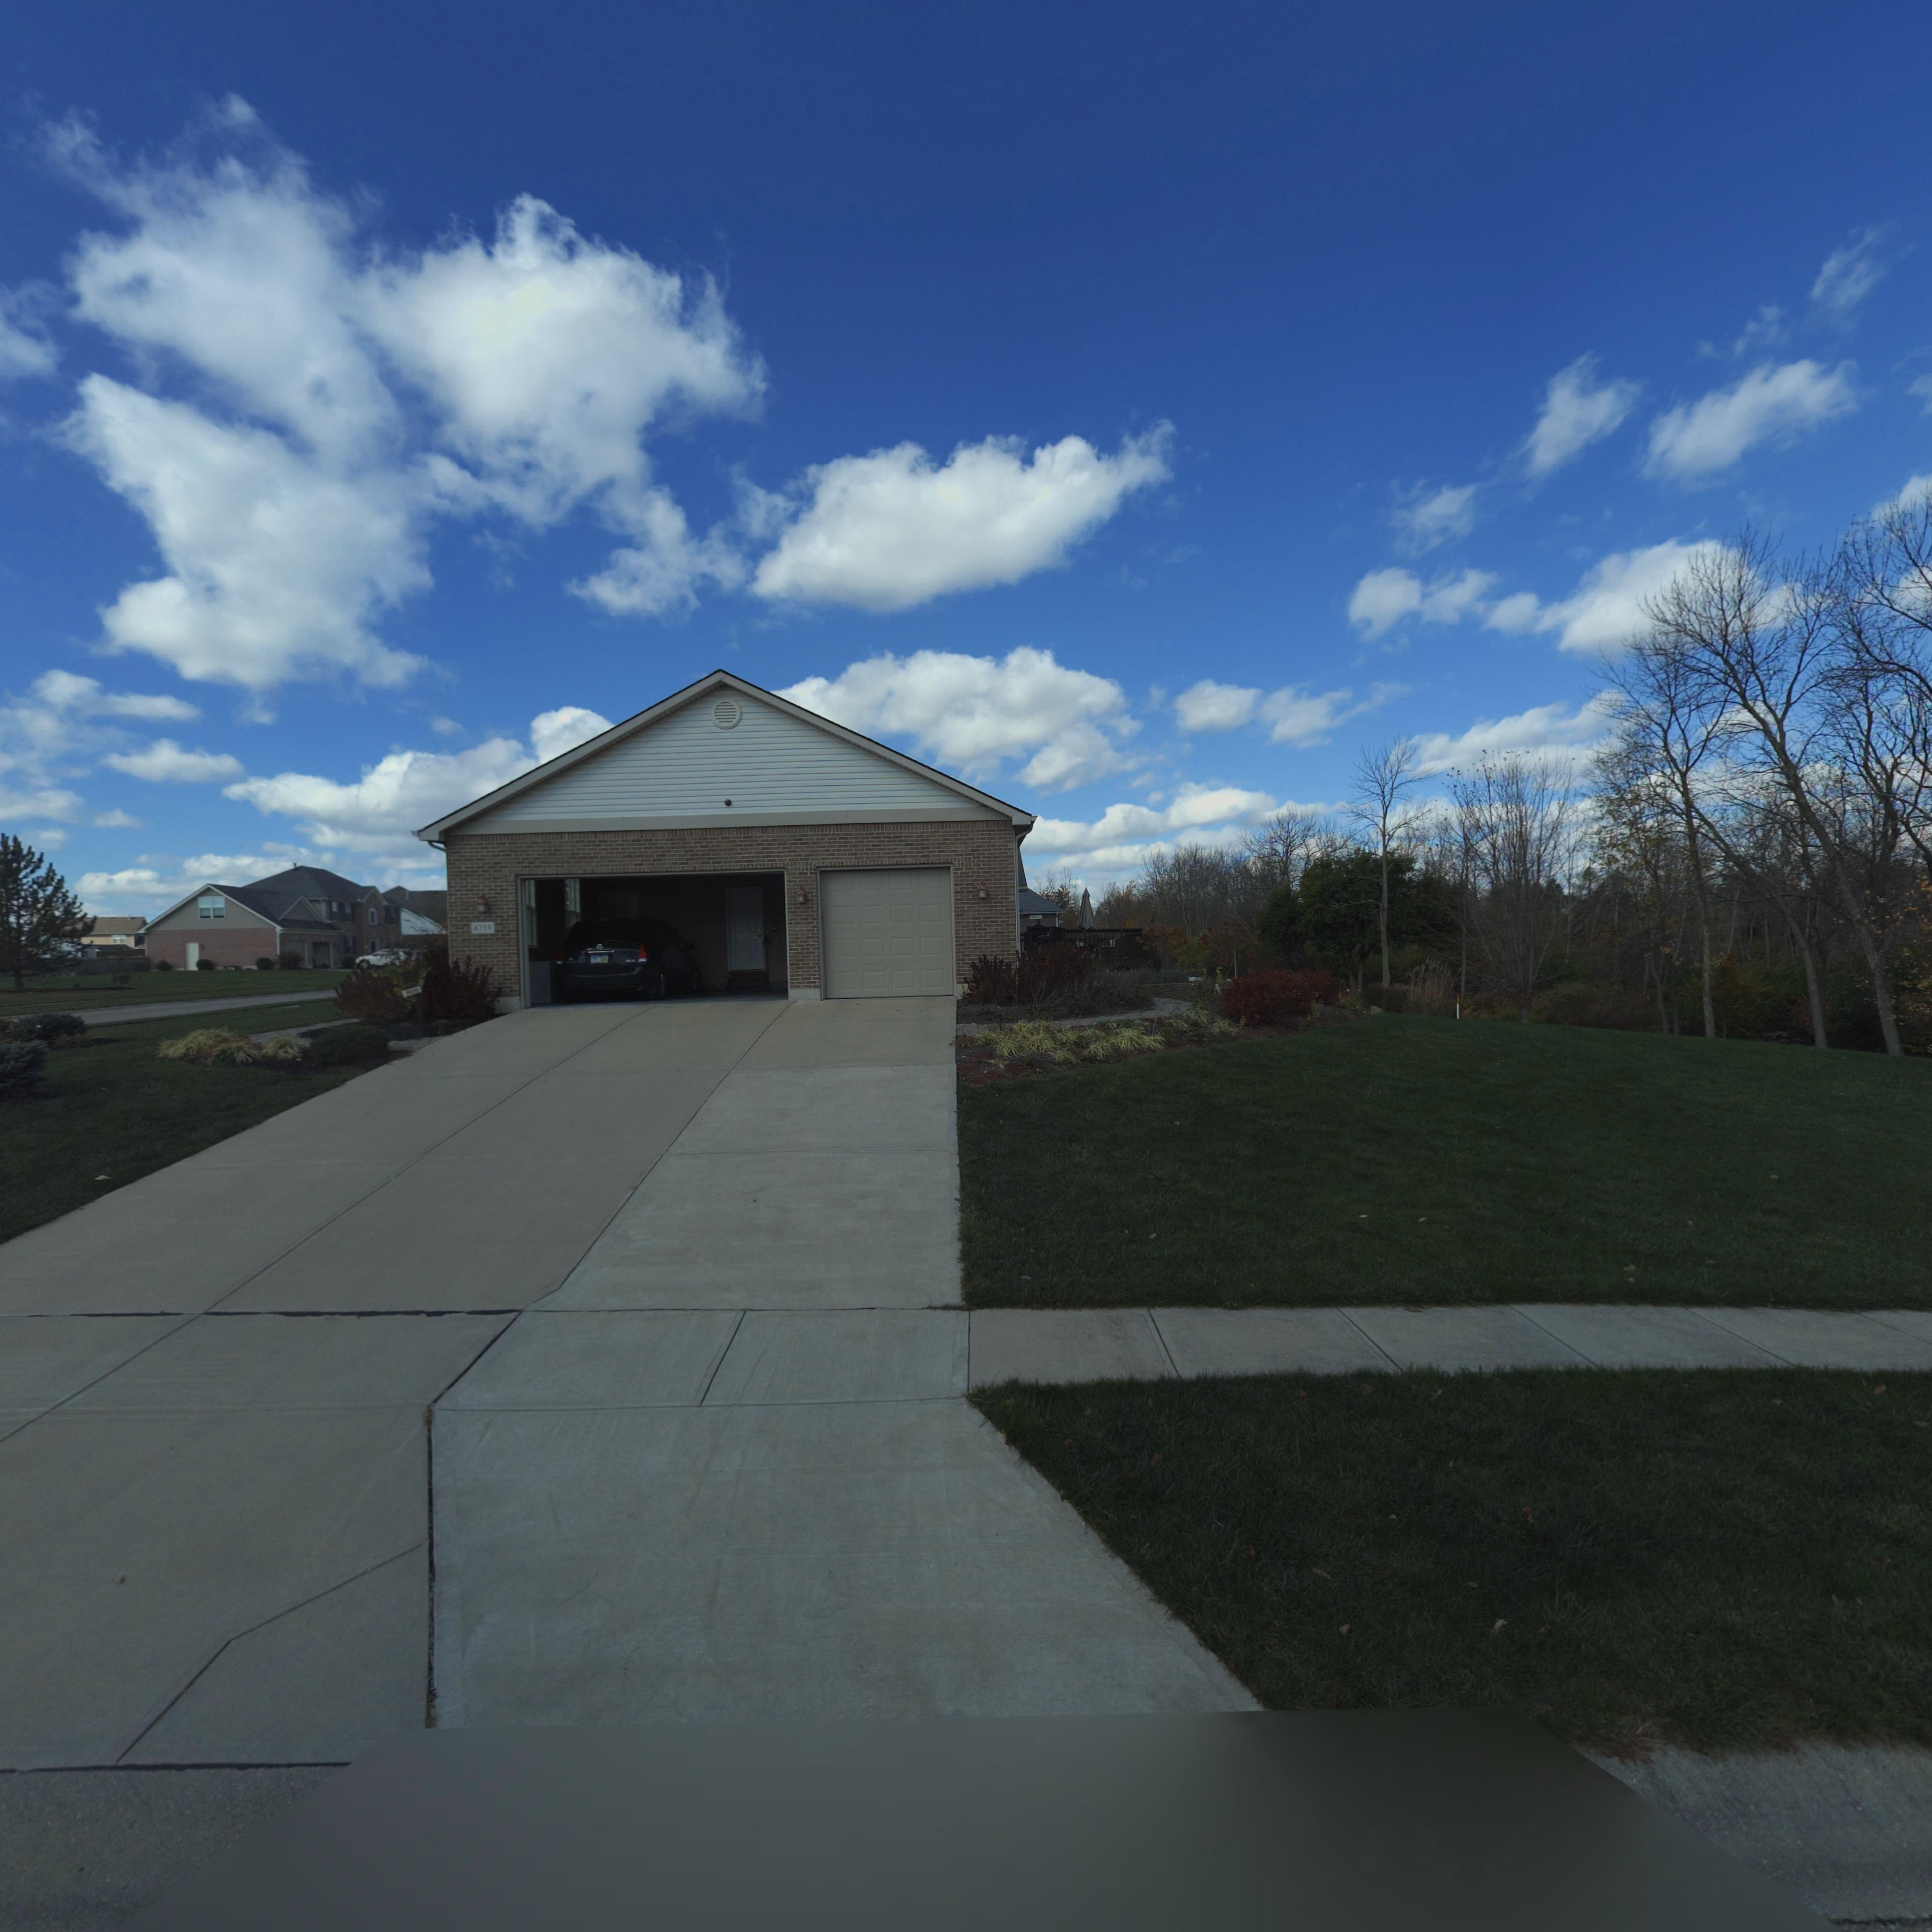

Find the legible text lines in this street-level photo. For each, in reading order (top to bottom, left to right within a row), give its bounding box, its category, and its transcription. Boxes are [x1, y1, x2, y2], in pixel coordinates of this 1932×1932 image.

[473, 924, 492, 932] StreetNumber: 6759